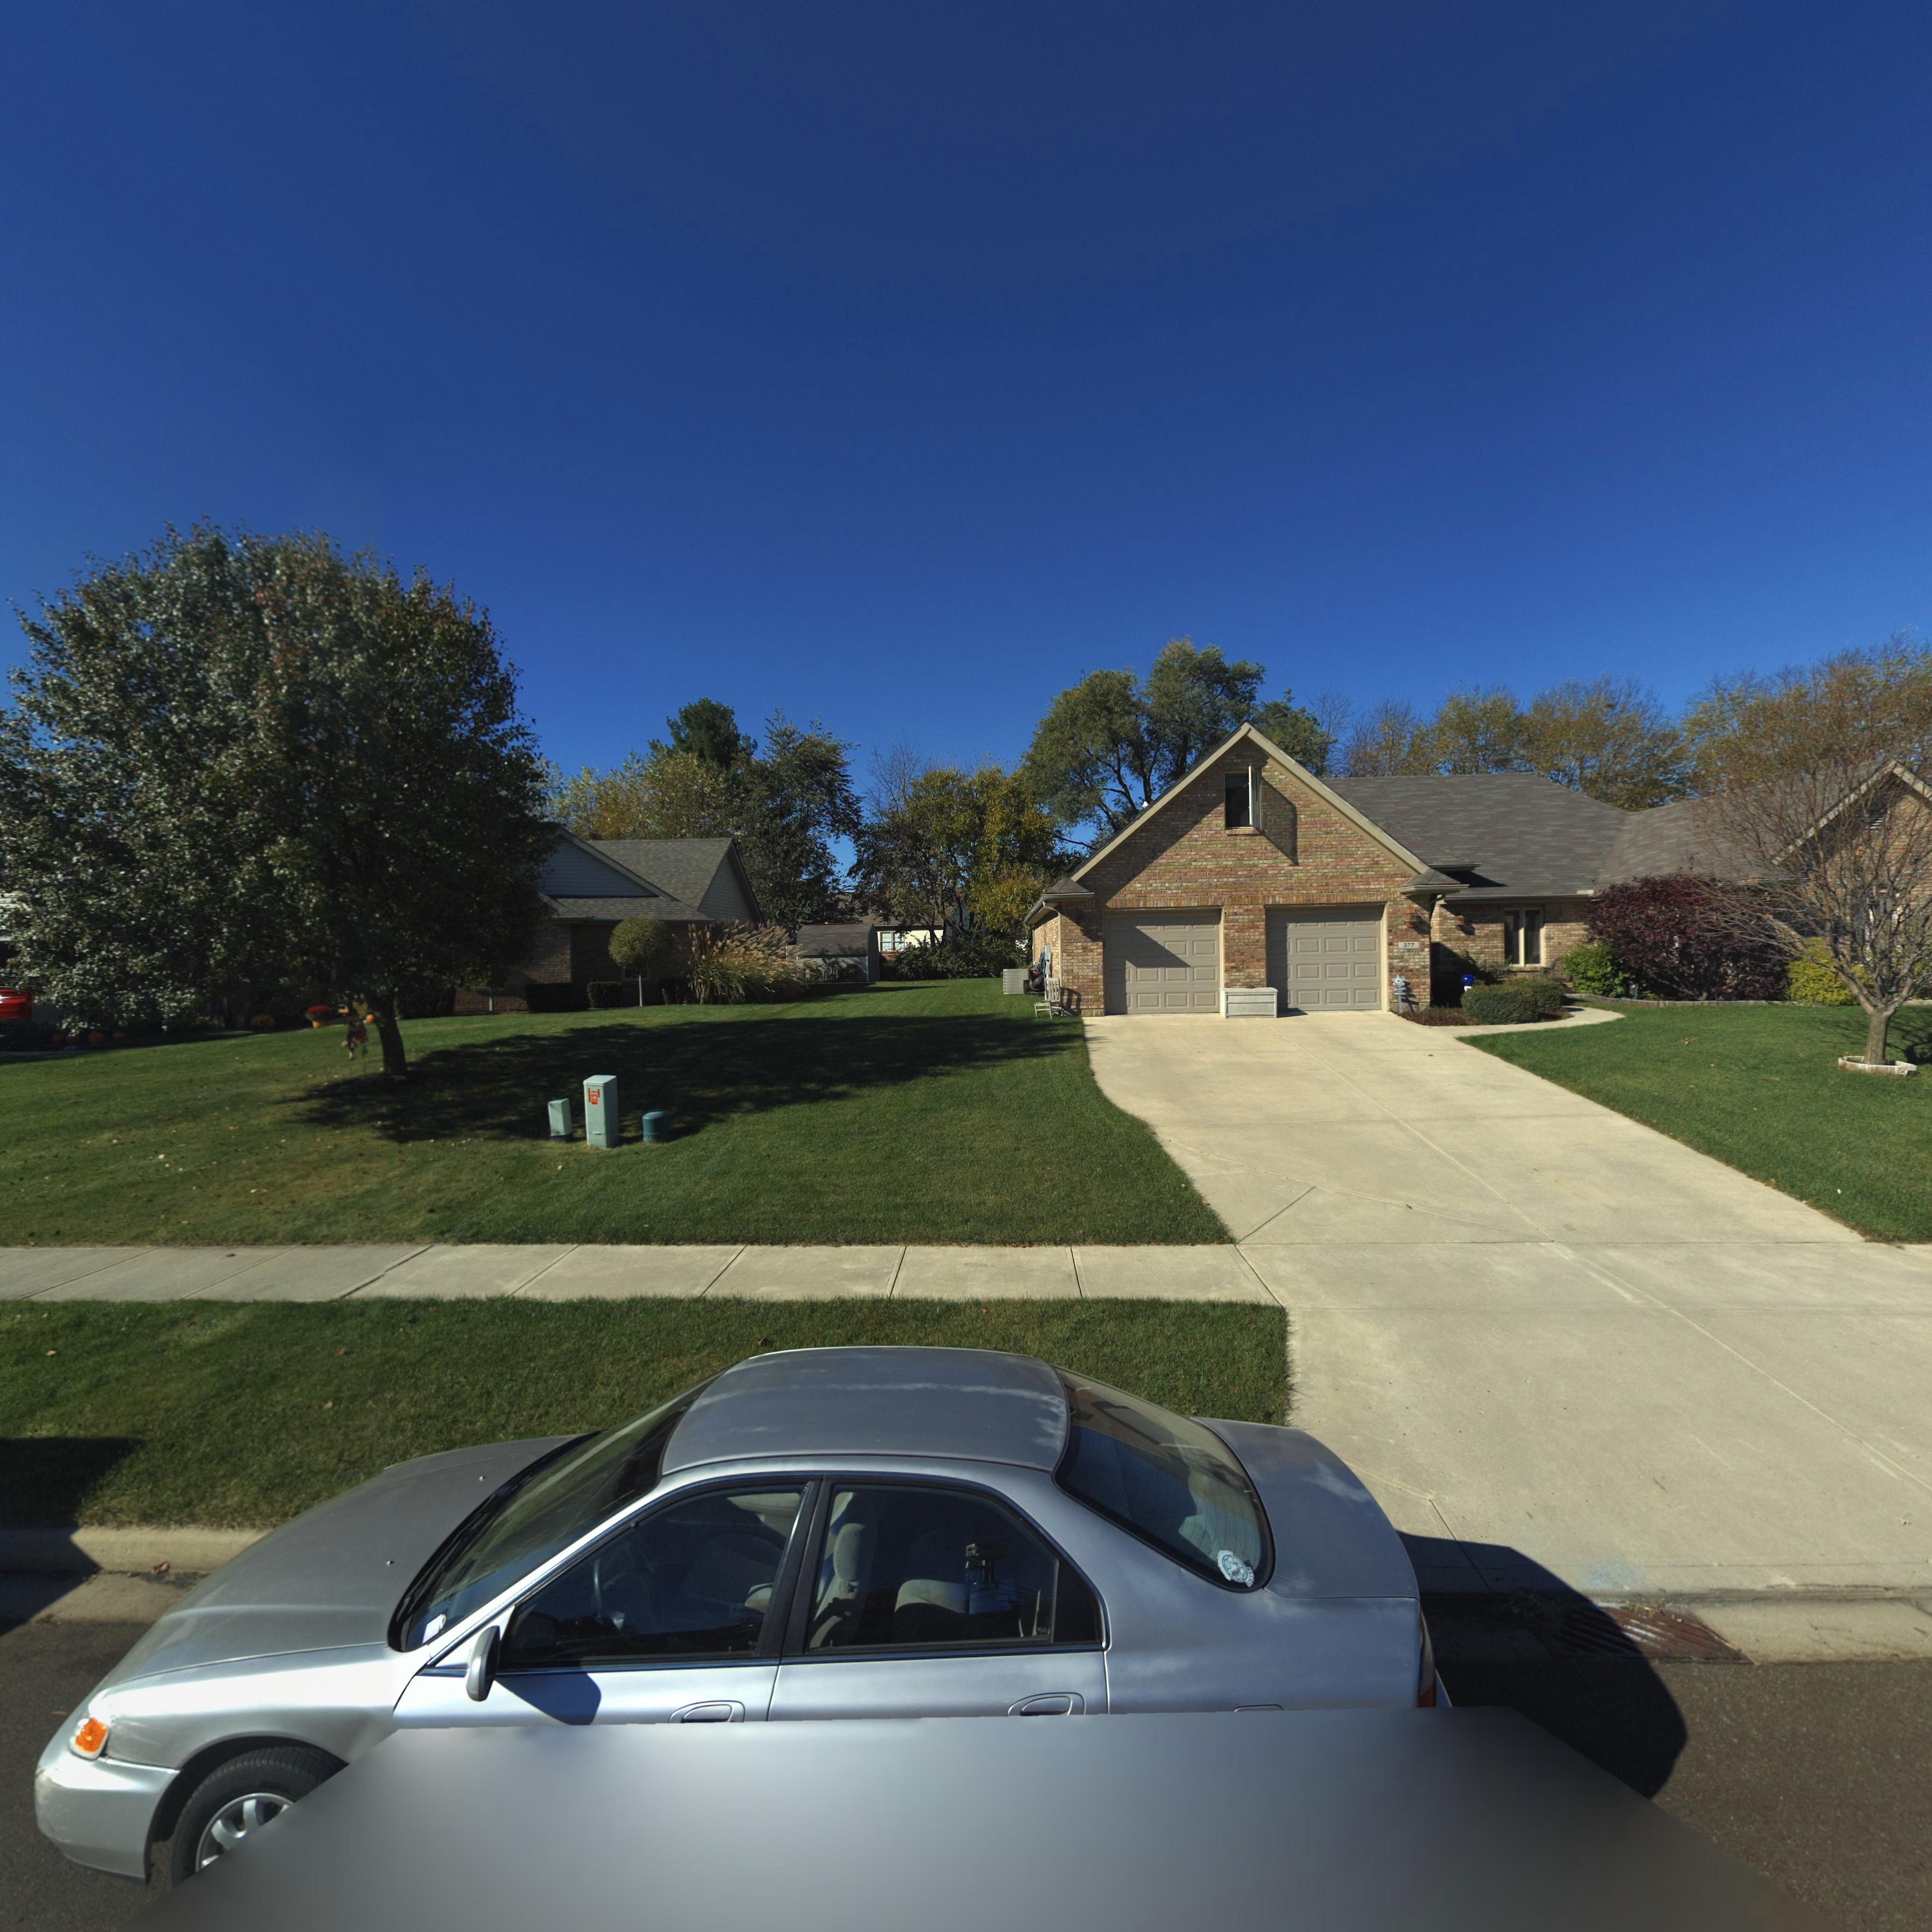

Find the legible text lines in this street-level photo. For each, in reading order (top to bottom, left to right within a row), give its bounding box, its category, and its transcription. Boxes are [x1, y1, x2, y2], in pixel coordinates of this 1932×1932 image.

[1403, 942, 1415, 948] StreetNumber: 377